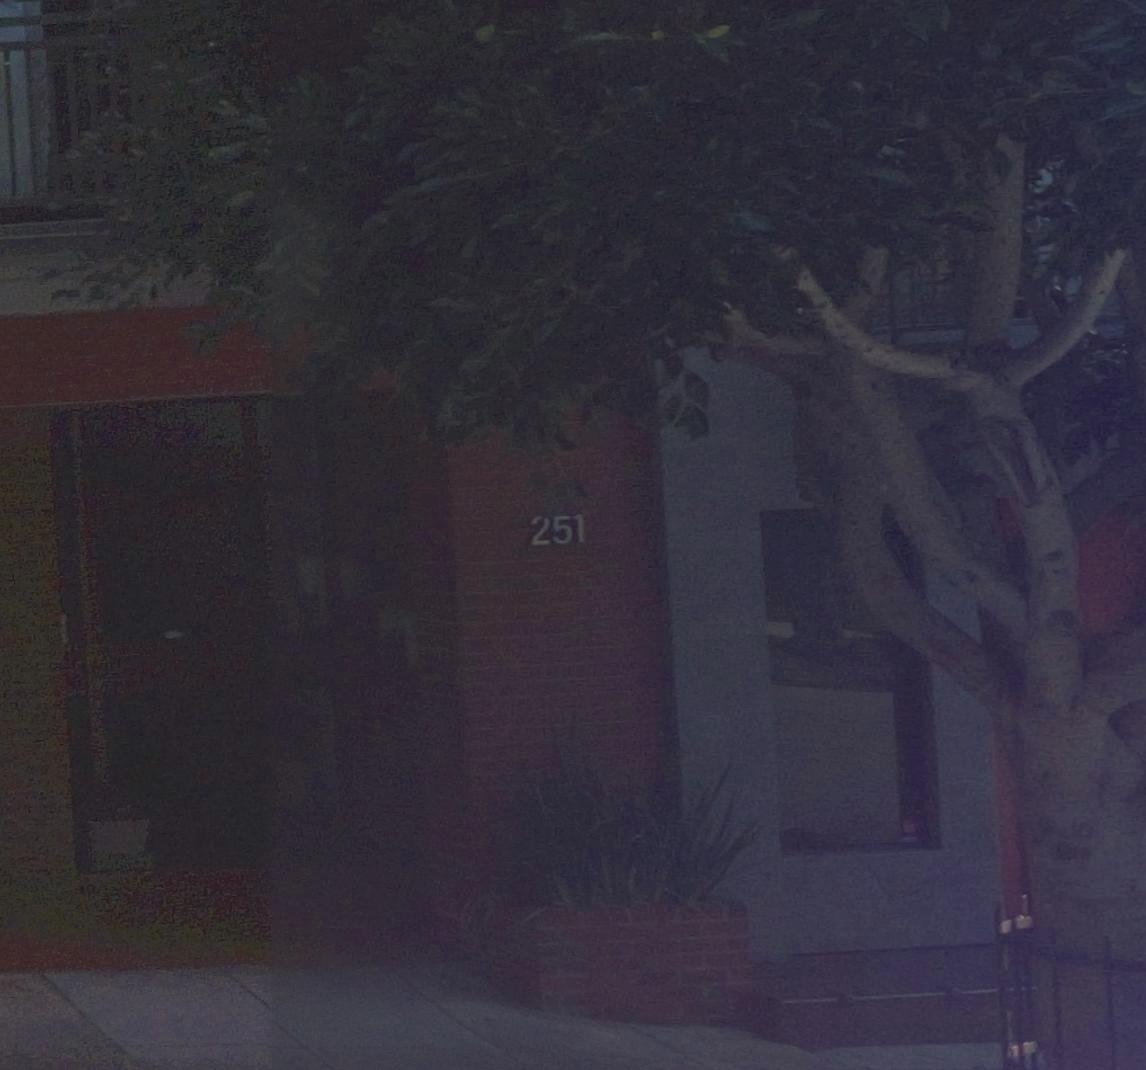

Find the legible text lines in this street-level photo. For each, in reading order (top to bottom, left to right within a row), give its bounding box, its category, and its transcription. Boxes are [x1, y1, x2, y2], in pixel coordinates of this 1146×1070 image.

[527, 510, 589, 551] StreetNumber: 251